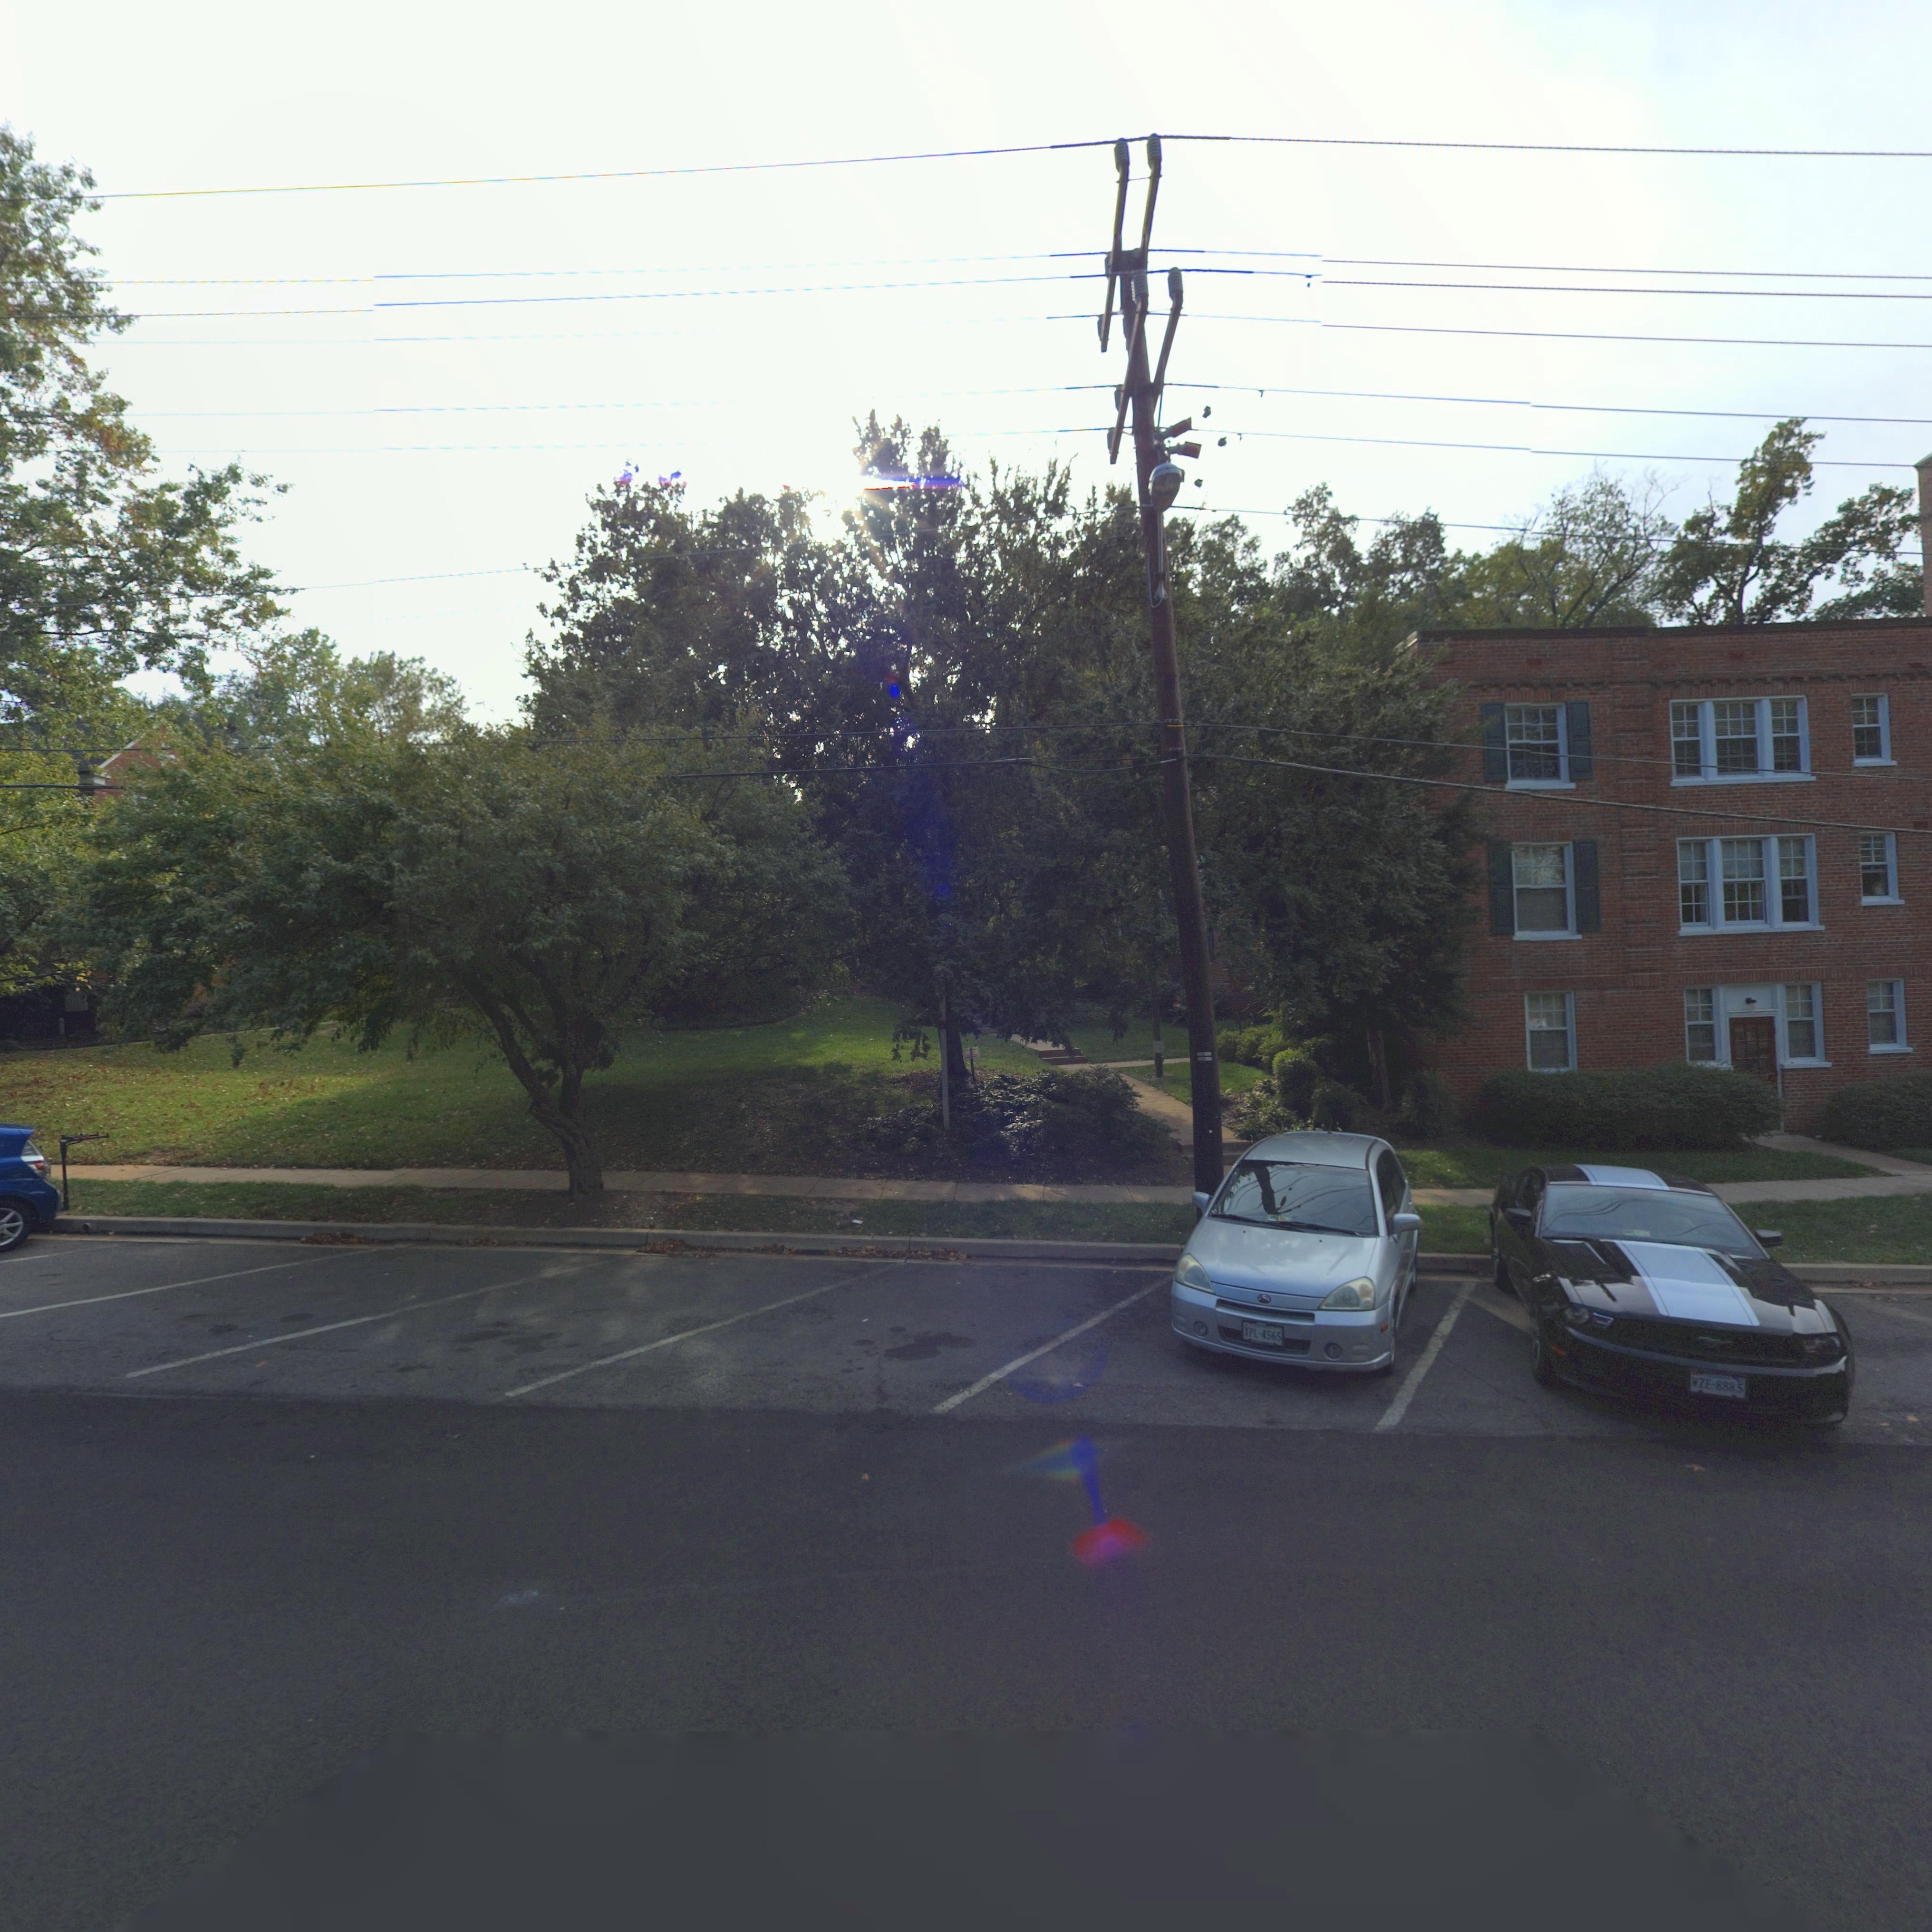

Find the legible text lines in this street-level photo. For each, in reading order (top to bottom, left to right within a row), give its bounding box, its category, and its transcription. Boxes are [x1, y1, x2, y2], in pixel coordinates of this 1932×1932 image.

[1244, 1325, 1282, 1343] None: XPL*4565
[1692, 1375, 1745, 1395] None: WZE*8885